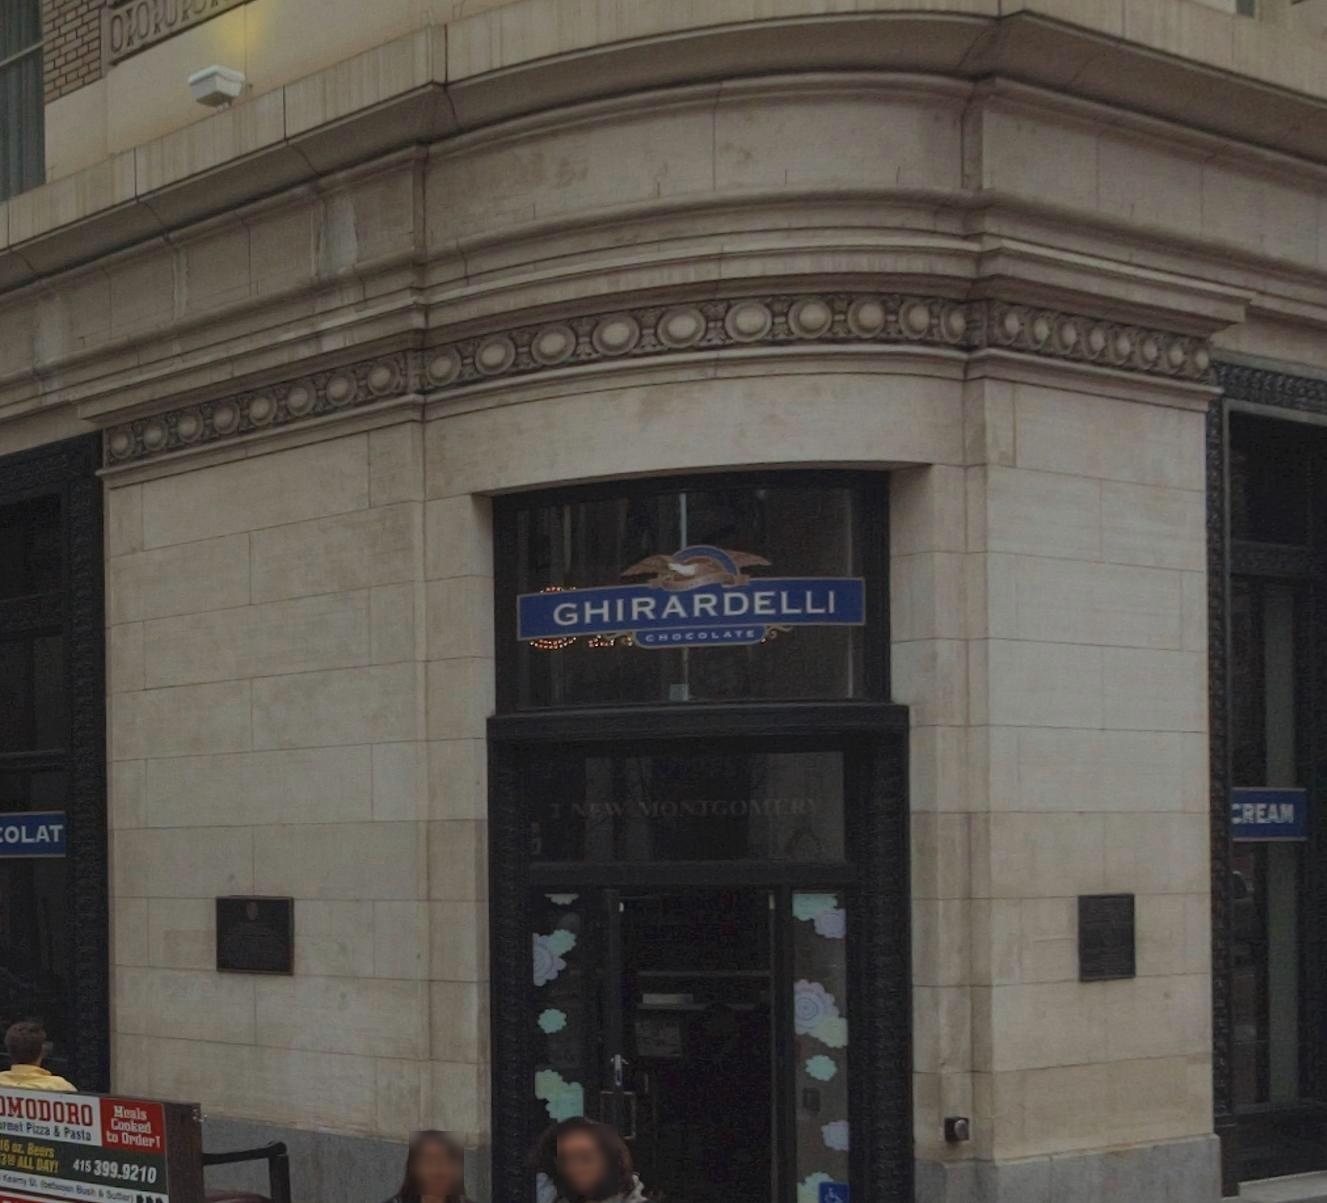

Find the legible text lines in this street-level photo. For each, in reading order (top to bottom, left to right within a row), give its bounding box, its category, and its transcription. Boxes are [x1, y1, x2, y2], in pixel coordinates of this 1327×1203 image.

[550, 585, 838, 631] BusinessName: GHIRARDELLI
[642, 626, 757, 644] BusinessName: CHOCOLATE
[543, 799, 565, 823] StreetNumber: 2
[568, 794, 828, 822] StreetName: NEW MONTGOMERY
[1239, 798, 1299, 827] None: REAM
[1, 819, 68, 847] None: OLAT
[3, 1136, 57, 1161] None: 6 oz. Beers
[3, 1090, 98, 1131] None: MODORO
[23, 1117, 95, 1145] None: Pizza & Pasta
[110, 1102, 149, 1123] None: Meals
[108, 1115, 154, 1137] None: Cooked
[103, 1126, 163, 1152] None: to Order*
[14, 1152, 62, 1177] None: ALL DAY!
[70, 1155, 161, 1188] None: 415 399.9210